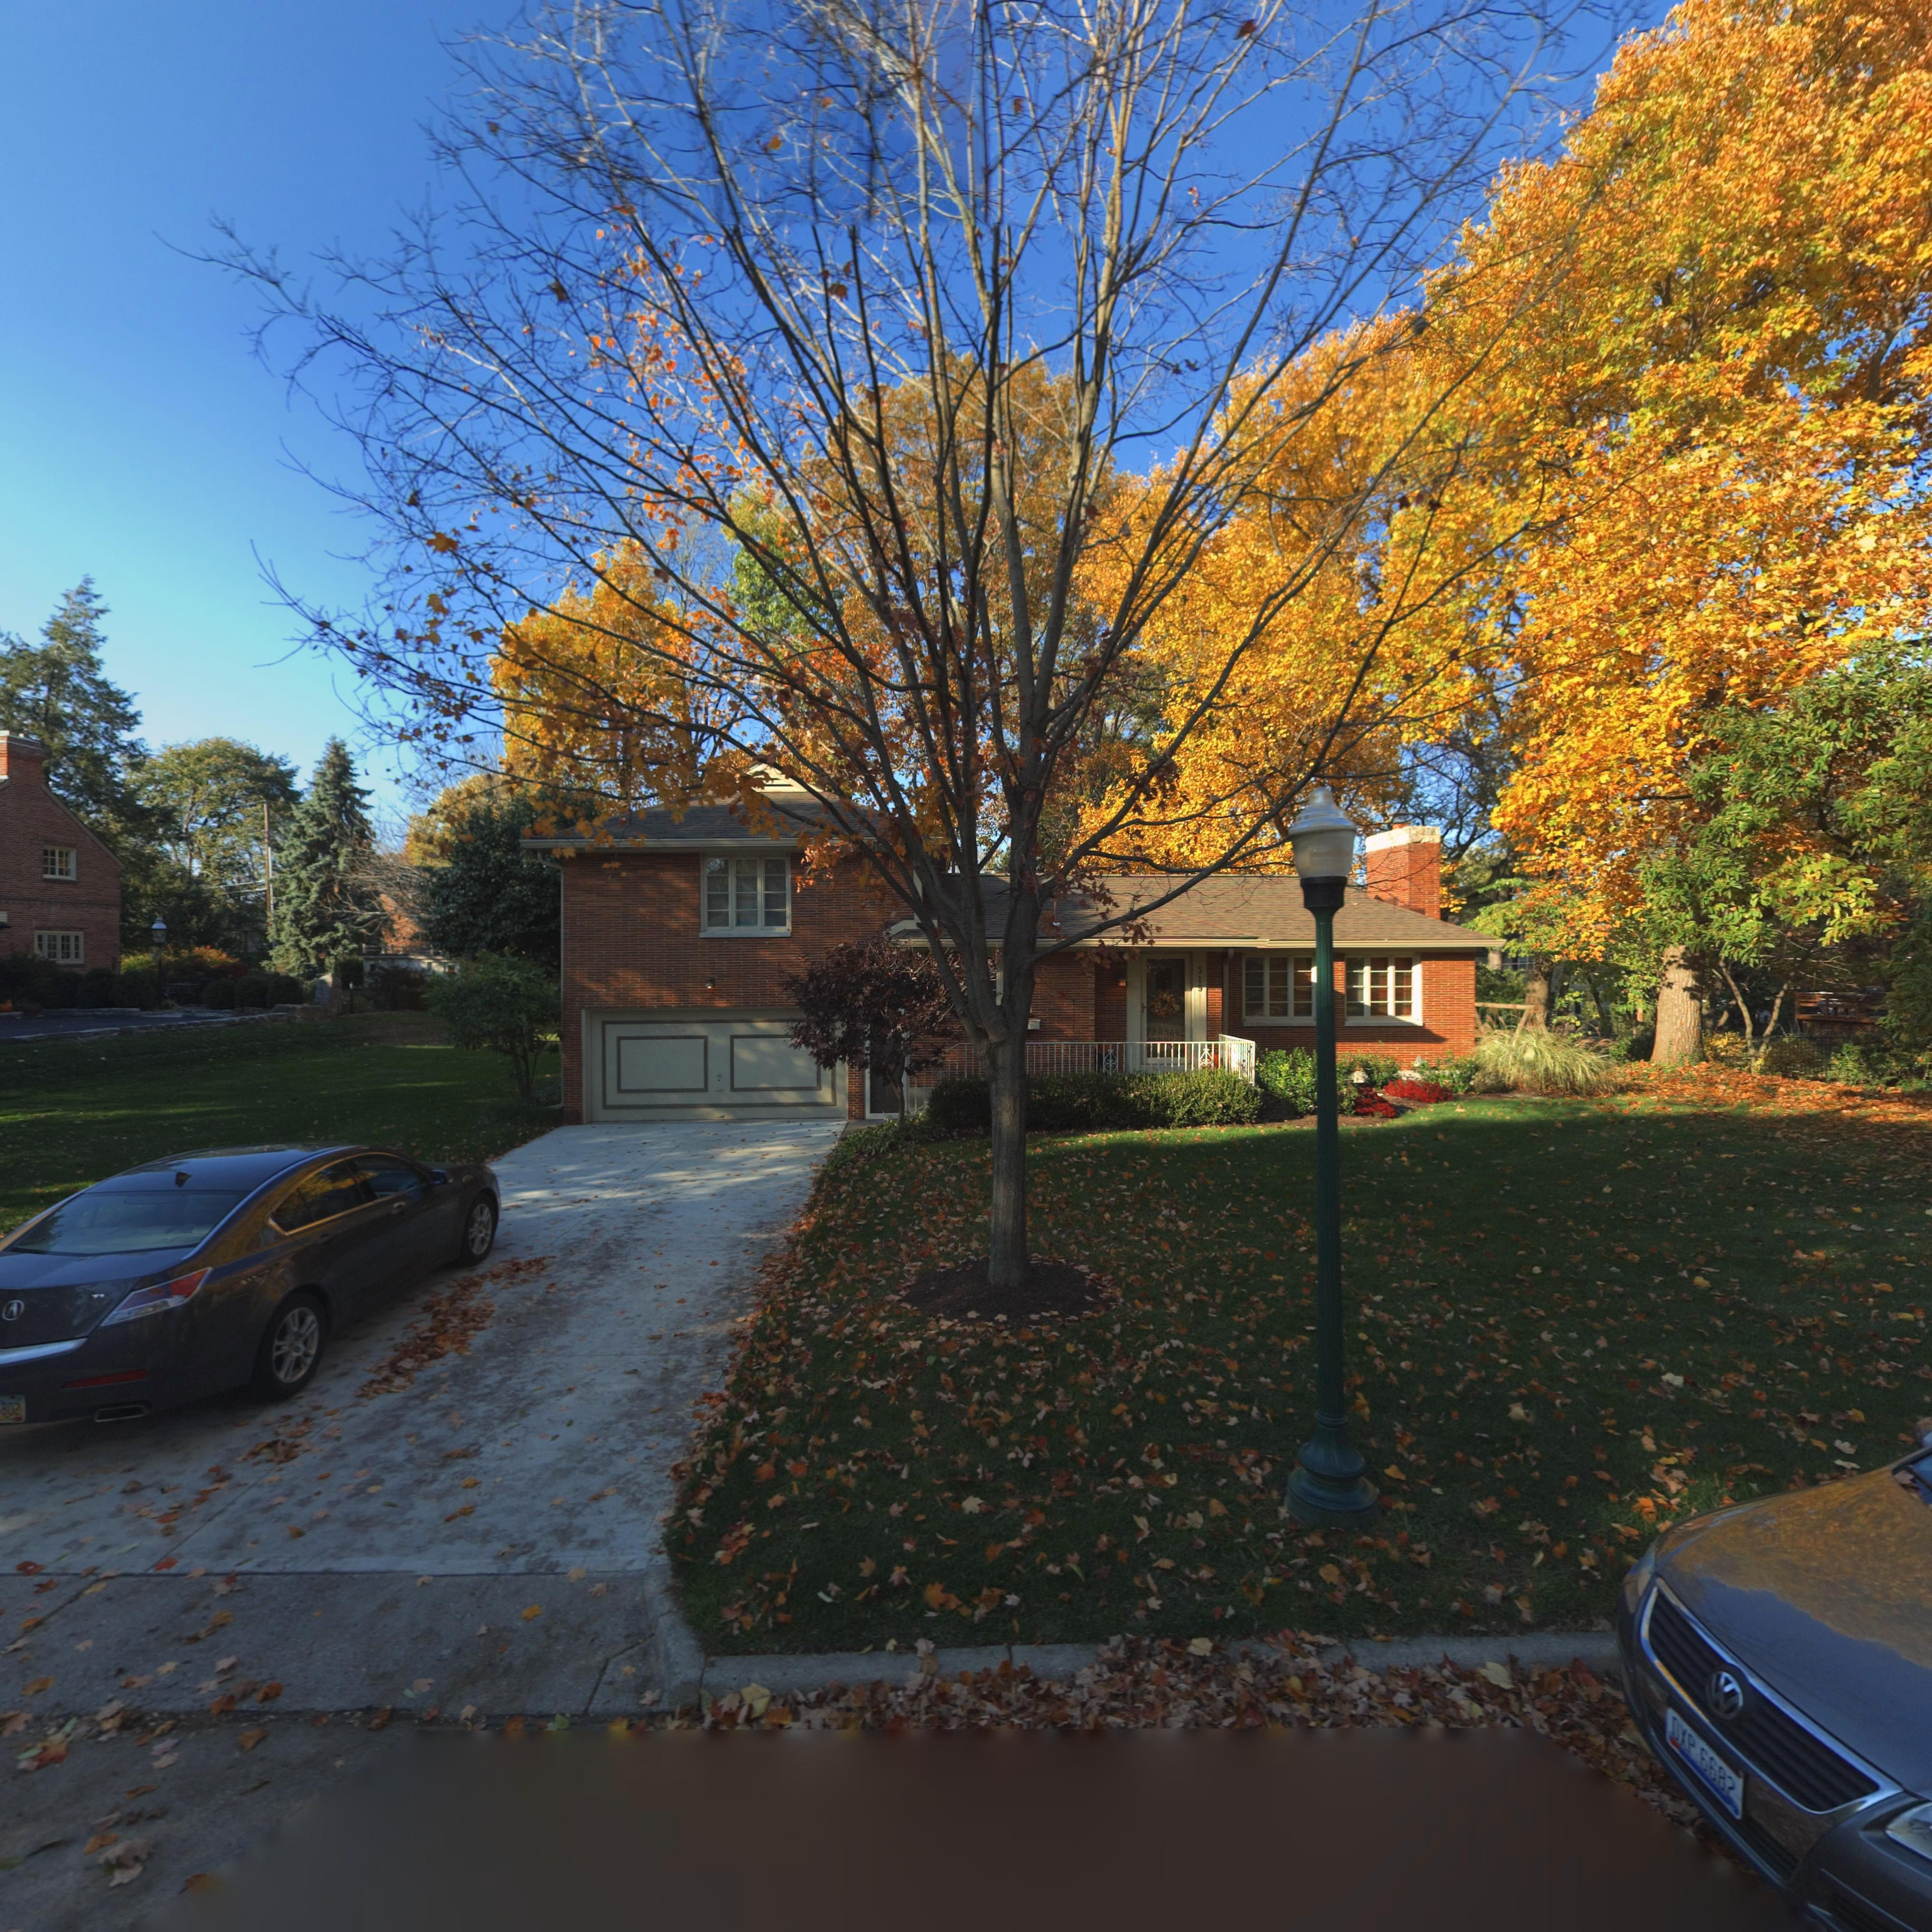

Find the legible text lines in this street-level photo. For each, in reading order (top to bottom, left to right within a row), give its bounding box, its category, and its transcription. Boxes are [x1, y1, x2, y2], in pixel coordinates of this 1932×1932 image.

[1197, 966, 1203, 993] StreetNumber: 319
[1670, 1713, 1738, 1806] None: \